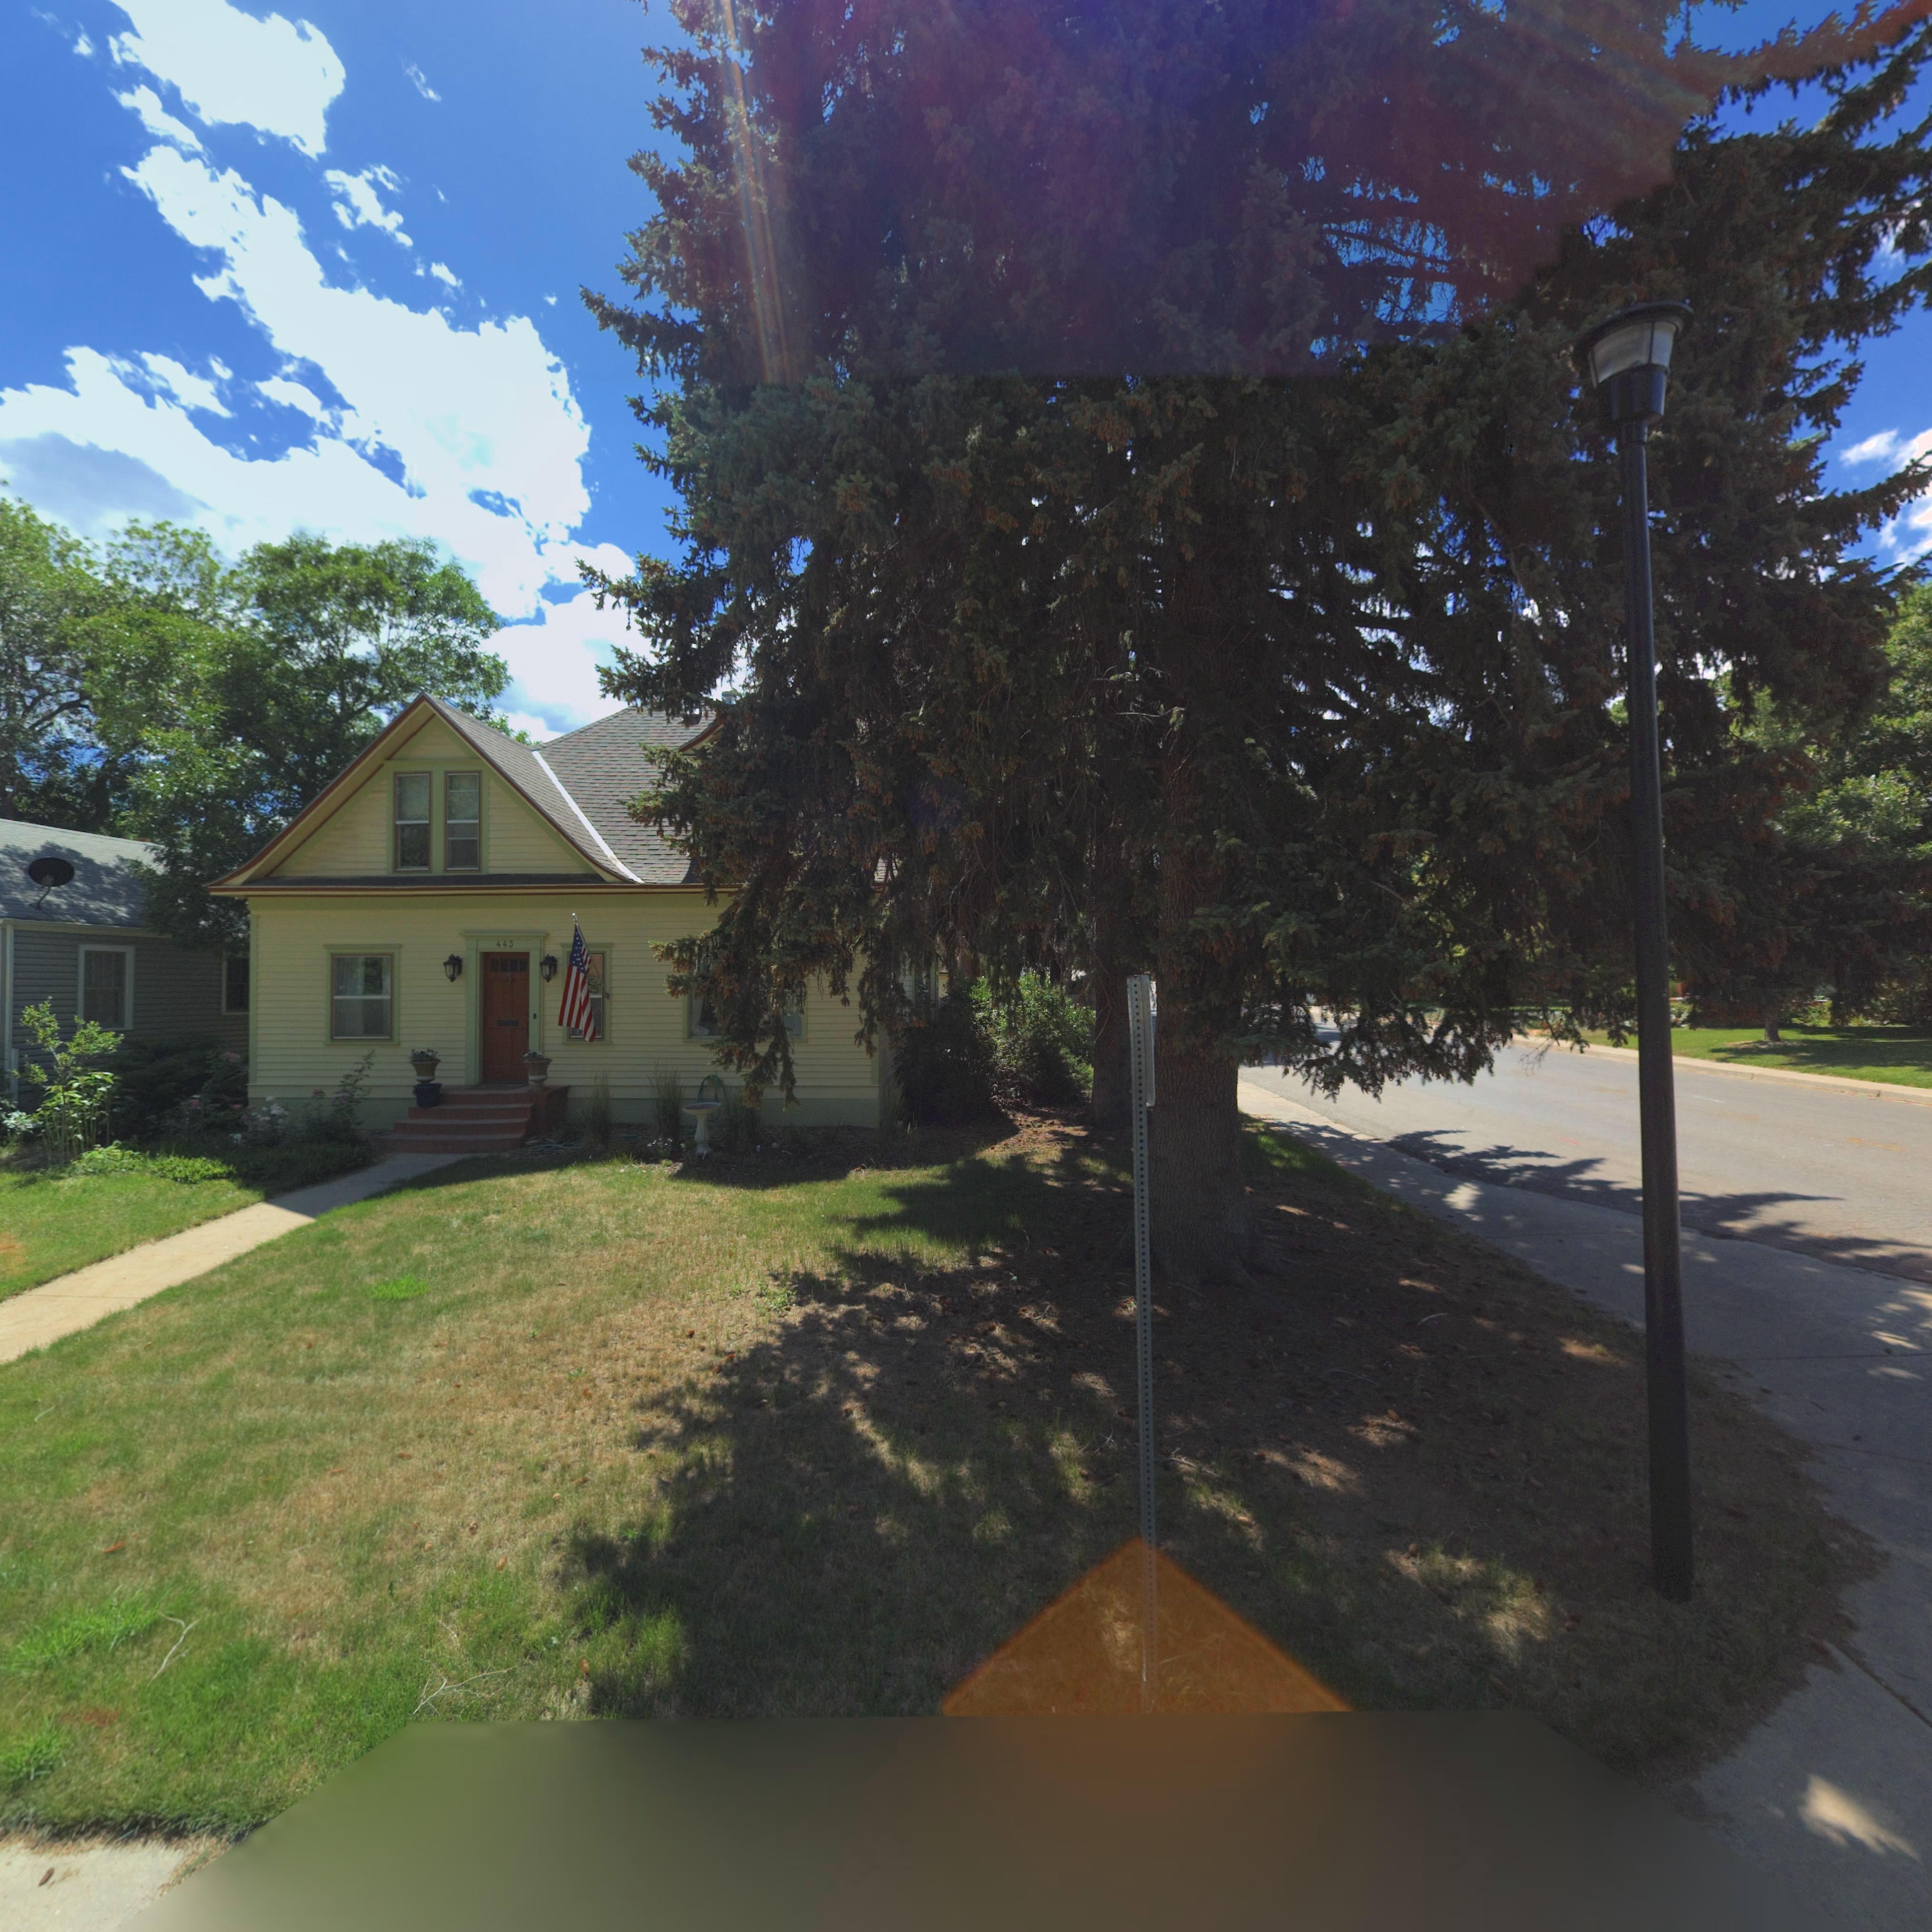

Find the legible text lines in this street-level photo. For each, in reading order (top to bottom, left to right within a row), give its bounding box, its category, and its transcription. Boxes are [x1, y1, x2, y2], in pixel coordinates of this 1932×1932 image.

[495, 939, 514, 947] StreetNumber: 443